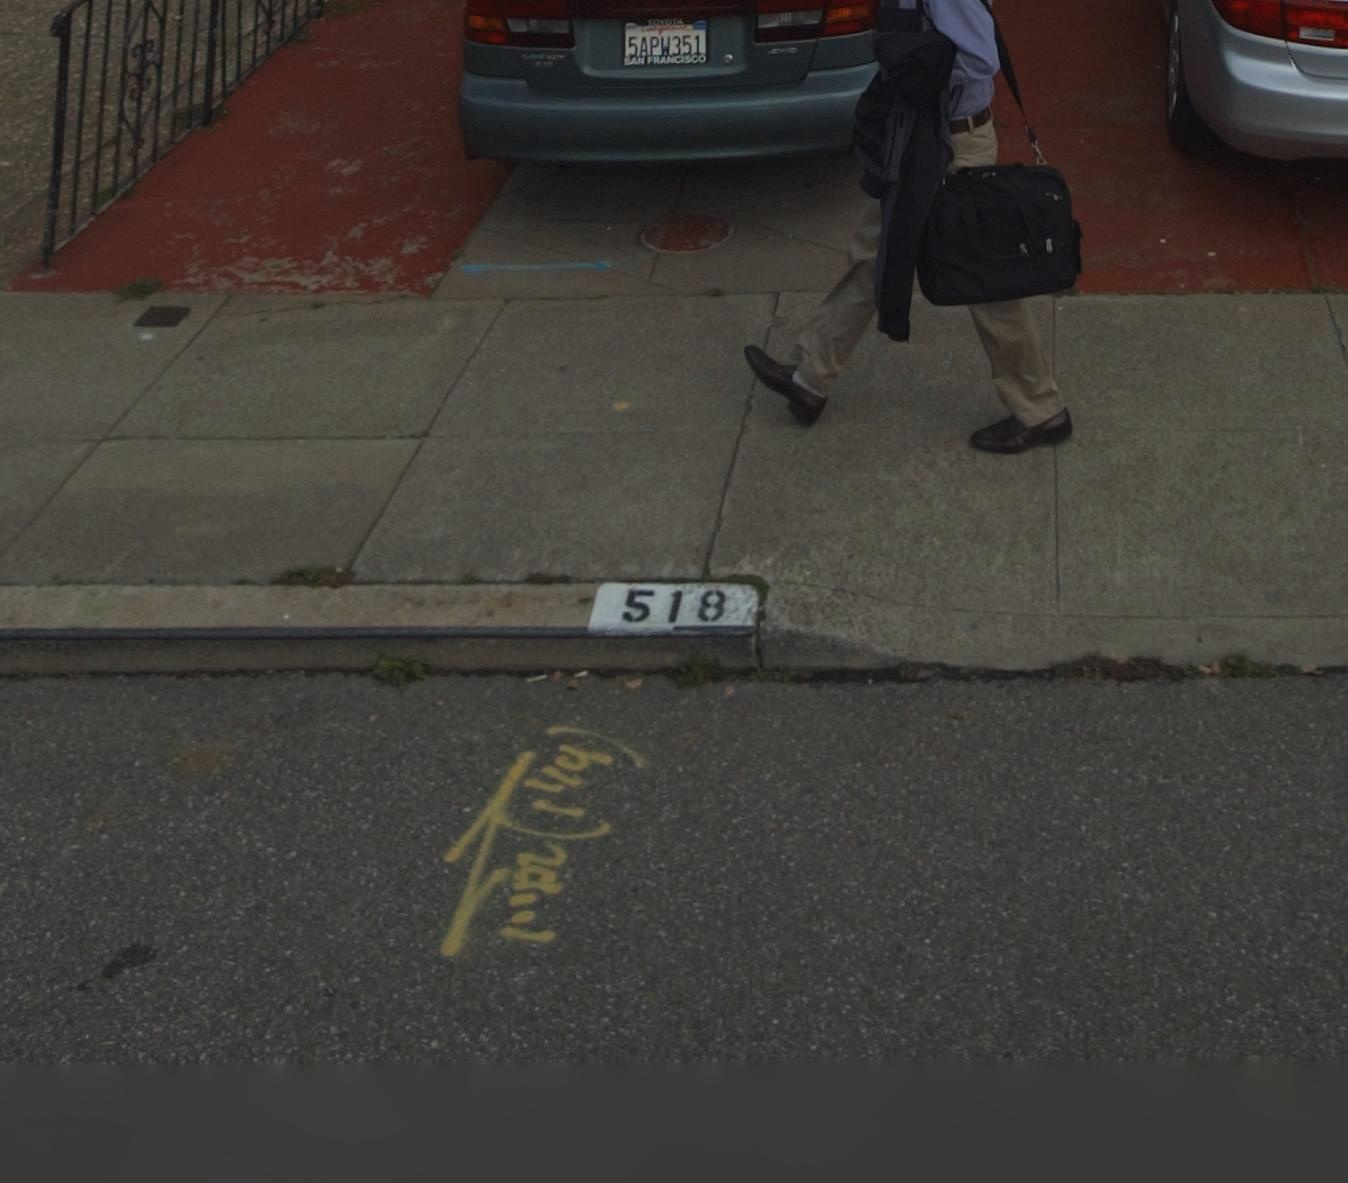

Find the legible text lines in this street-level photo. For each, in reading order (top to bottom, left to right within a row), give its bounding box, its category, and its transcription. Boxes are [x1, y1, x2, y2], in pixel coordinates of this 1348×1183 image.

[646, 18, 683, 26] None: TOYOTA
[627, 34, 702, 55] None: 5APW351
[623, 54, 707, 66] None: SAN FRANCISCO
[617, 588, 727, 623] StreetNumber: 510